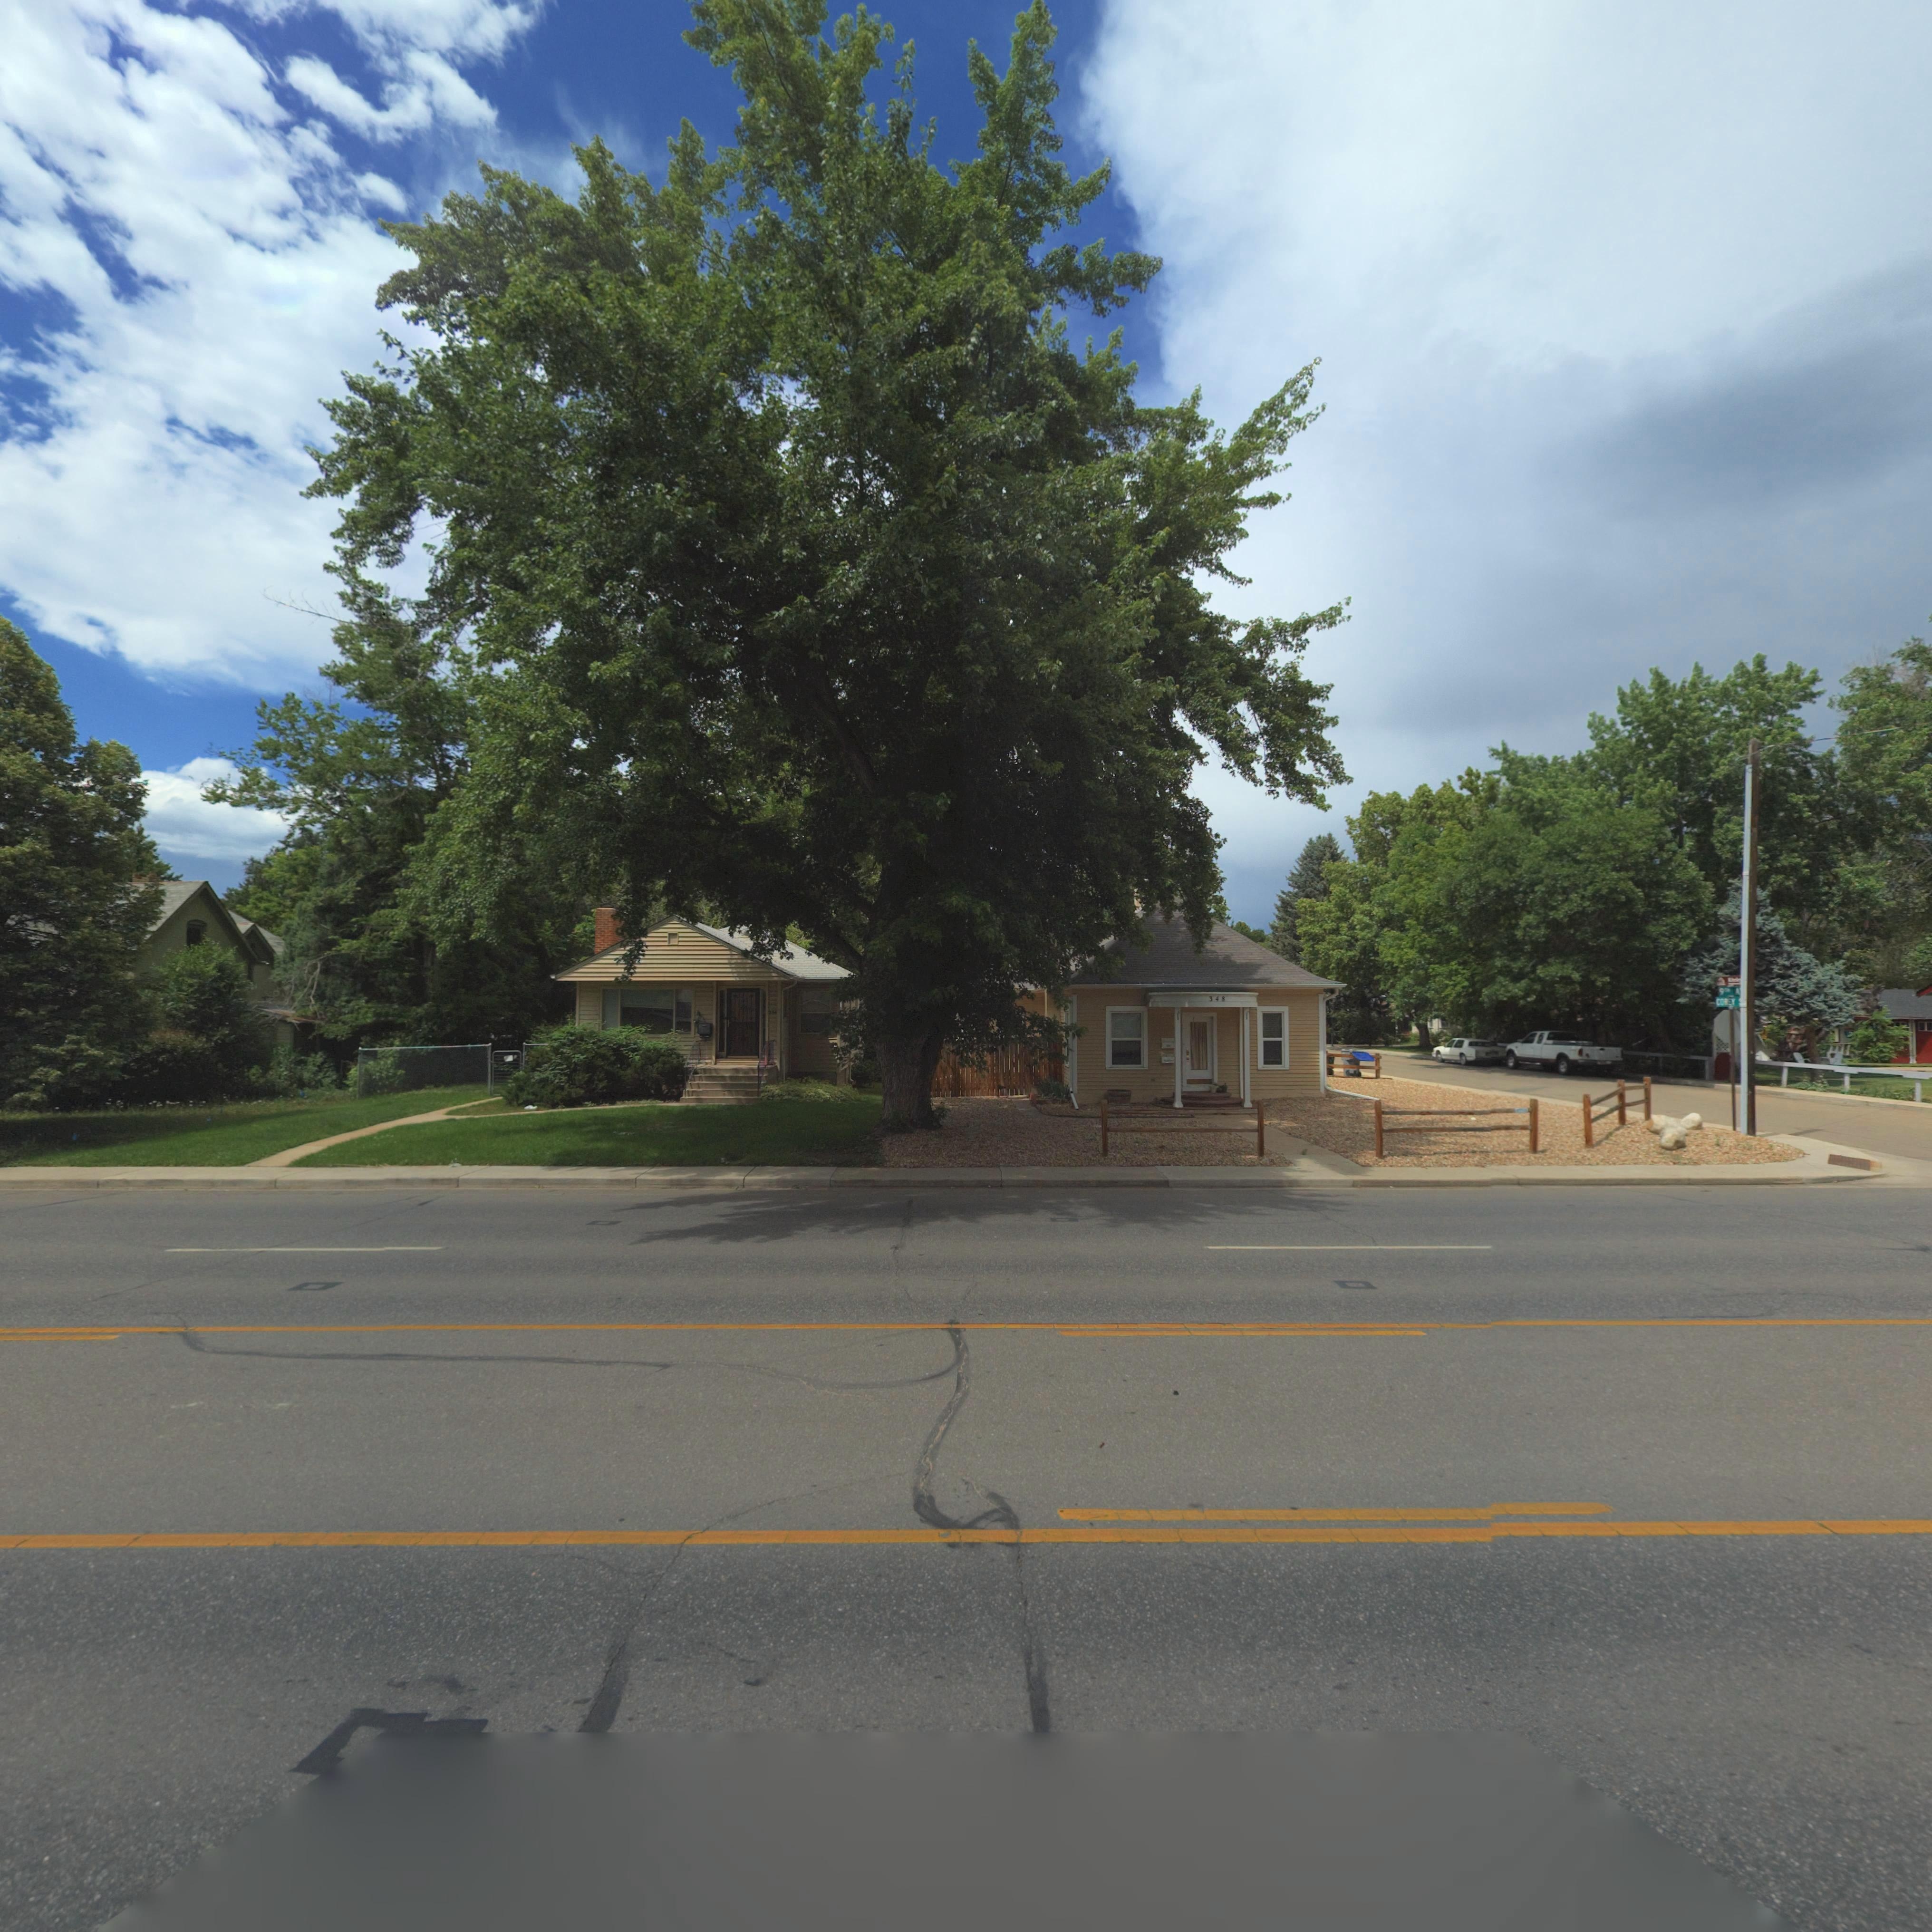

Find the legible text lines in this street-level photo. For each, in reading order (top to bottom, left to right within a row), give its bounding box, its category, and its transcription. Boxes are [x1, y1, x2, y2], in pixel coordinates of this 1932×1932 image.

[1718, 987, 1740, 995] StreetName: 9TH A
[1208, 995, 1225, 1002] StreetNumber: 348
[1715, 997, 1740, 1006] StreetName: CORREY *
[768, 1010, 777, 1015] StreetNumber: 354